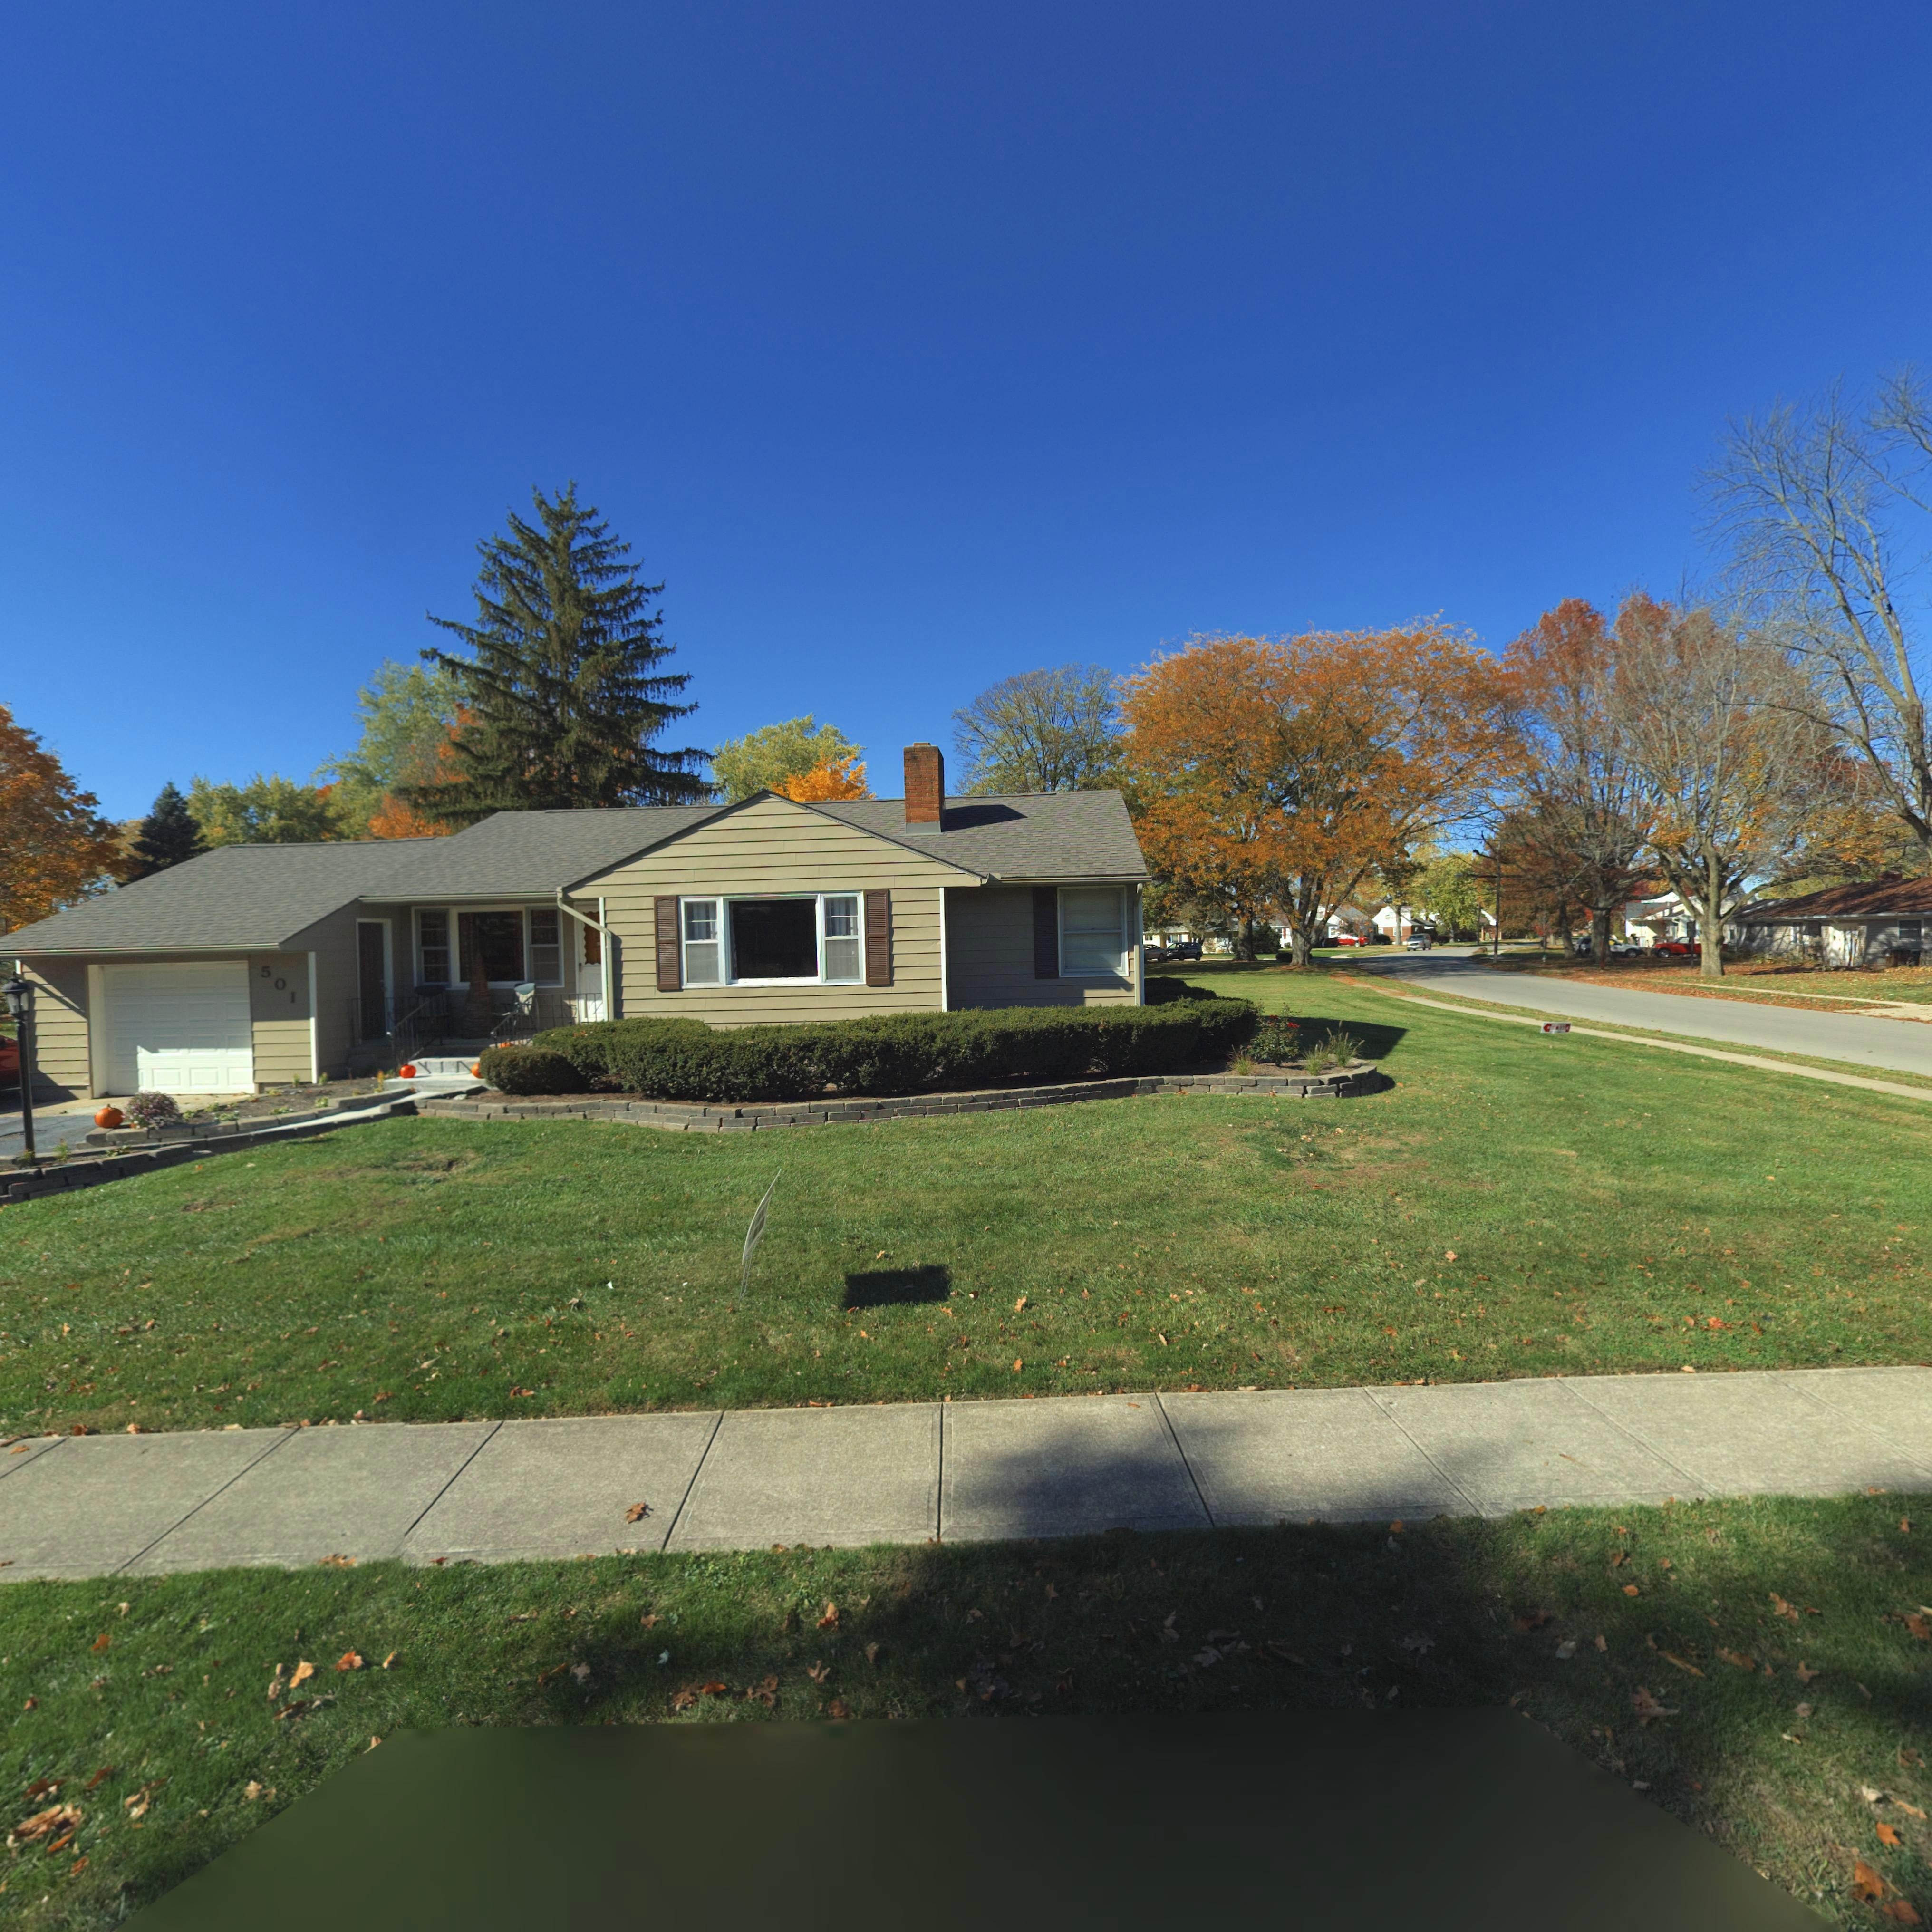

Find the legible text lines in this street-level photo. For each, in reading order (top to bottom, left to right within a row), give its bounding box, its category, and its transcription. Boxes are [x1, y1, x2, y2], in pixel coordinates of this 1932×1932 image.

[260, 965, 296, 1004] StreetNumber: 501